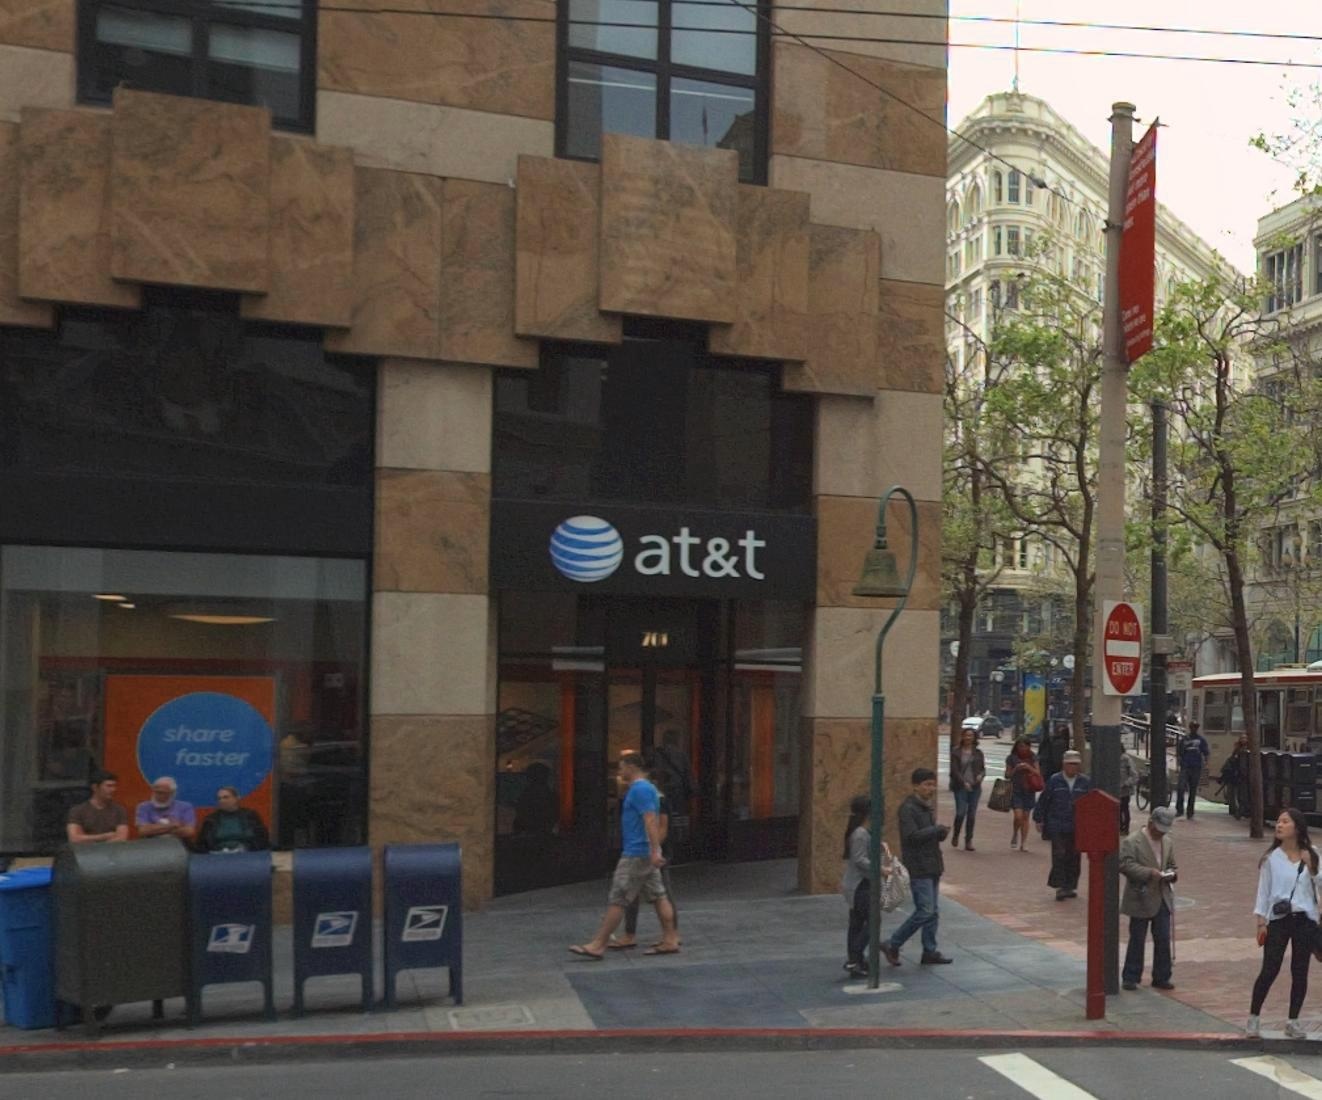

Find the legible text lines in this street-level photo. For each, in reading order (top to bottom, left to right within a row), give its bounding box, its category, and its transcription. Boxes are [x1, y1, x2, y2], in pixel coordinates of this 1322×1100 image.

[630, 523, 770, 584] BusinessName: at&t
[636, 629, 672, 650] StreetNumber: 701
[1107, 618, 1140, 638] None: DO NOT
[1109, 659, 1136, 679] None: ENTER
[158, 721, 238, 744] None: share
[170, 745, 256, 769] None: faster